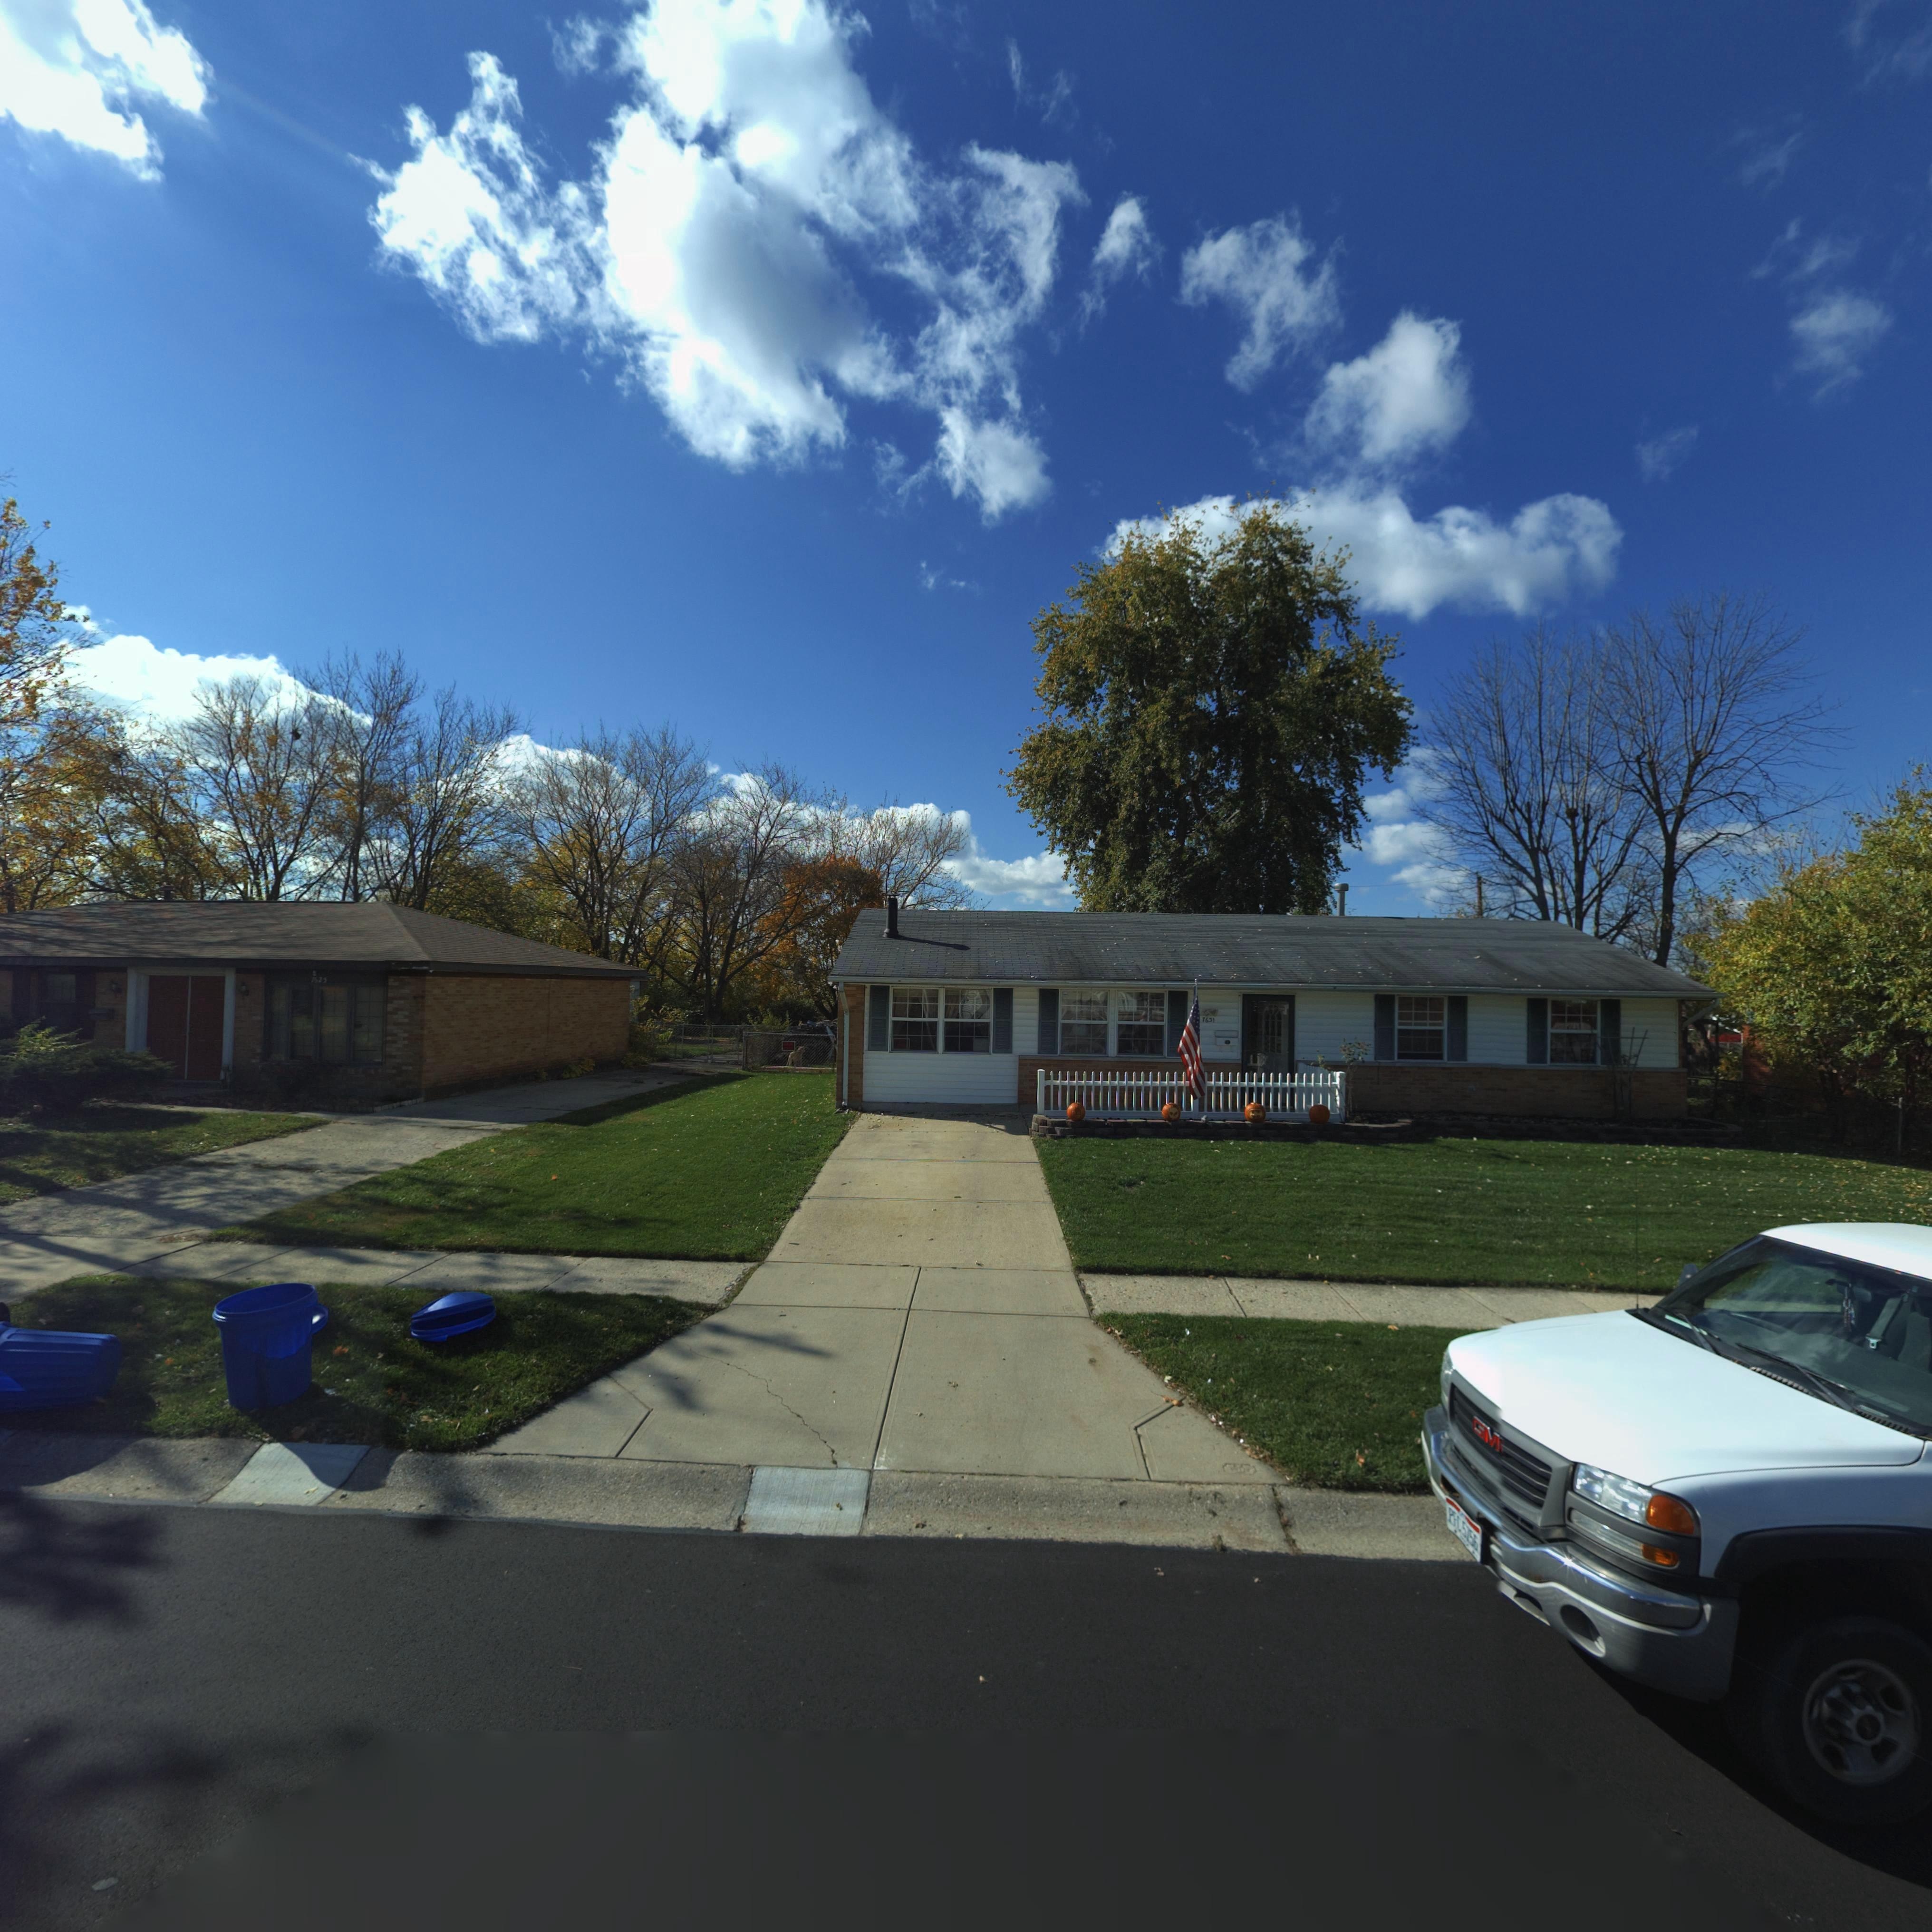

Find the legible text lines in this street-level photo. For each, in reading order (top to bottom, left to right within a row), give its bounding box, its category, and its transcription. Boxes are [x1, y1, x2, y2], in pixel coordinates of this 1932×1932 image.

[310, 976, 328, 984] StreetNumber: 7625
[1201, 1016, 1215, 1024] StreetNumber: 7631